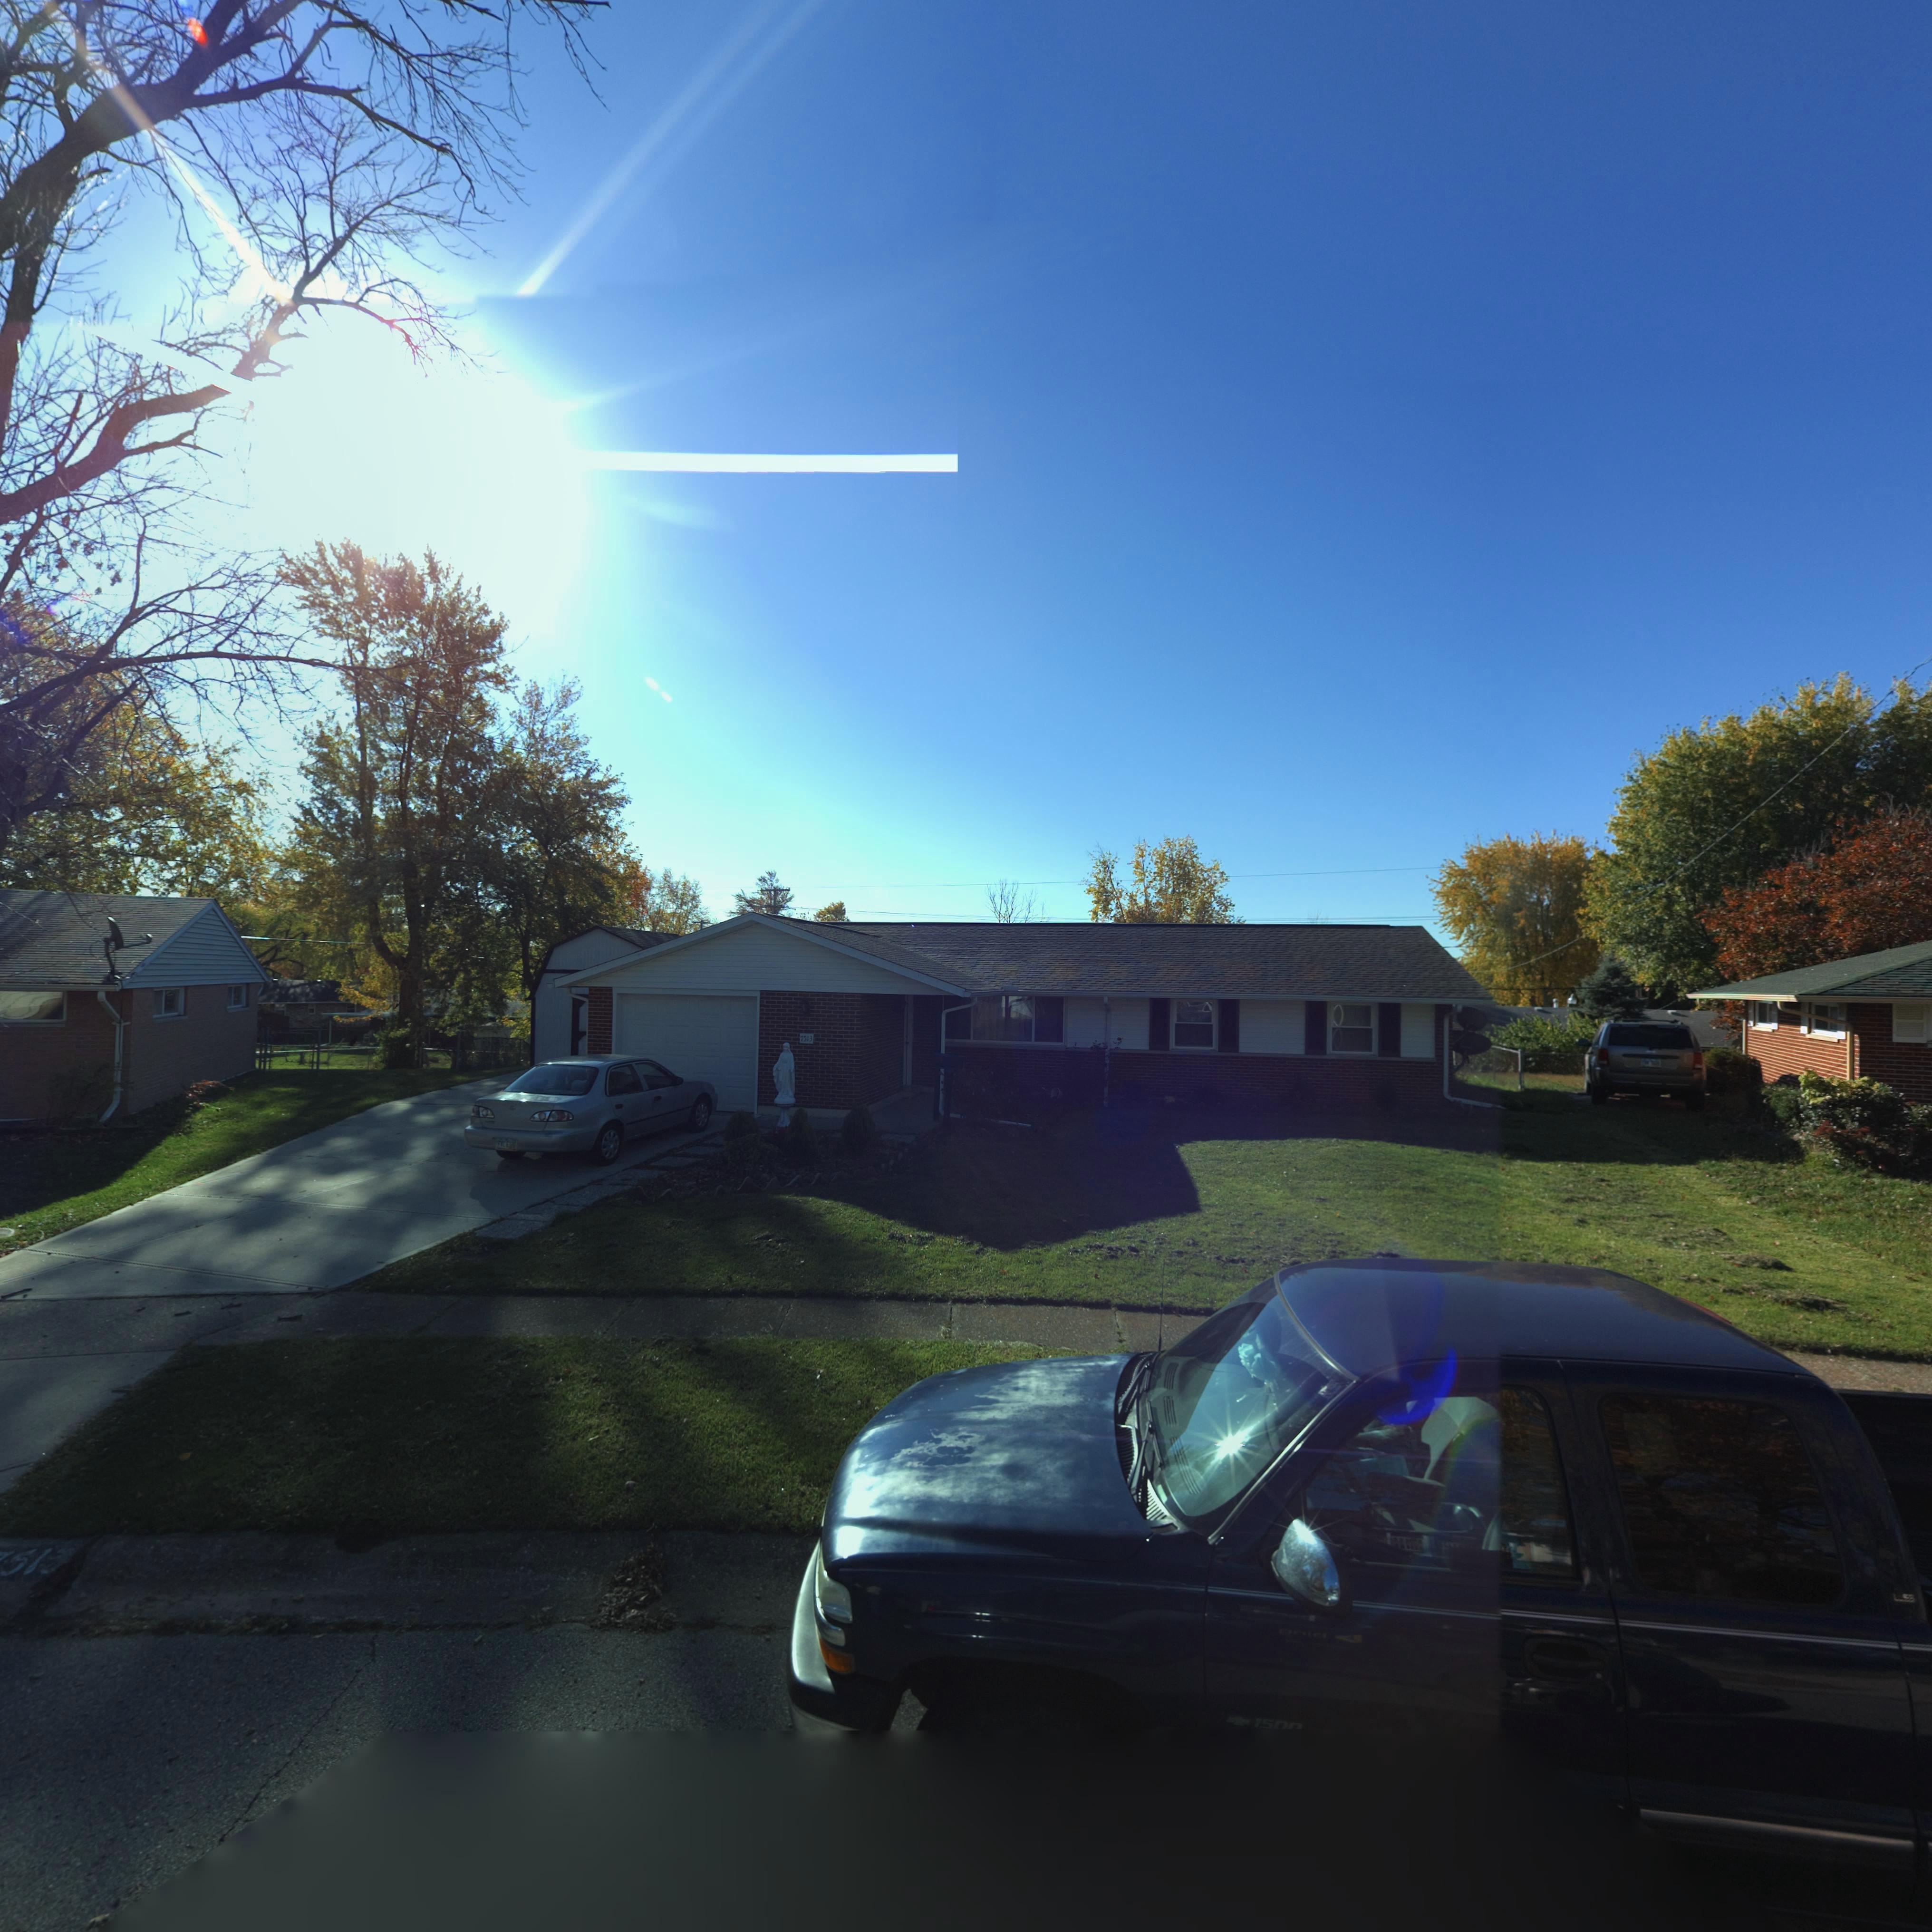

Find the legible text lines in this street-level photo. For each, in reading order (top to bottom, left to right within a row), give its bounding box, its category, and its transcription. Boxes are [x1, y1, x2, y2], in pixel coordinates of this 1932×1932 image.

[799, 1034, 814, 1043] StreetNumber: 7513
[0, 1546, 56, 1578] StreetNumber: 51